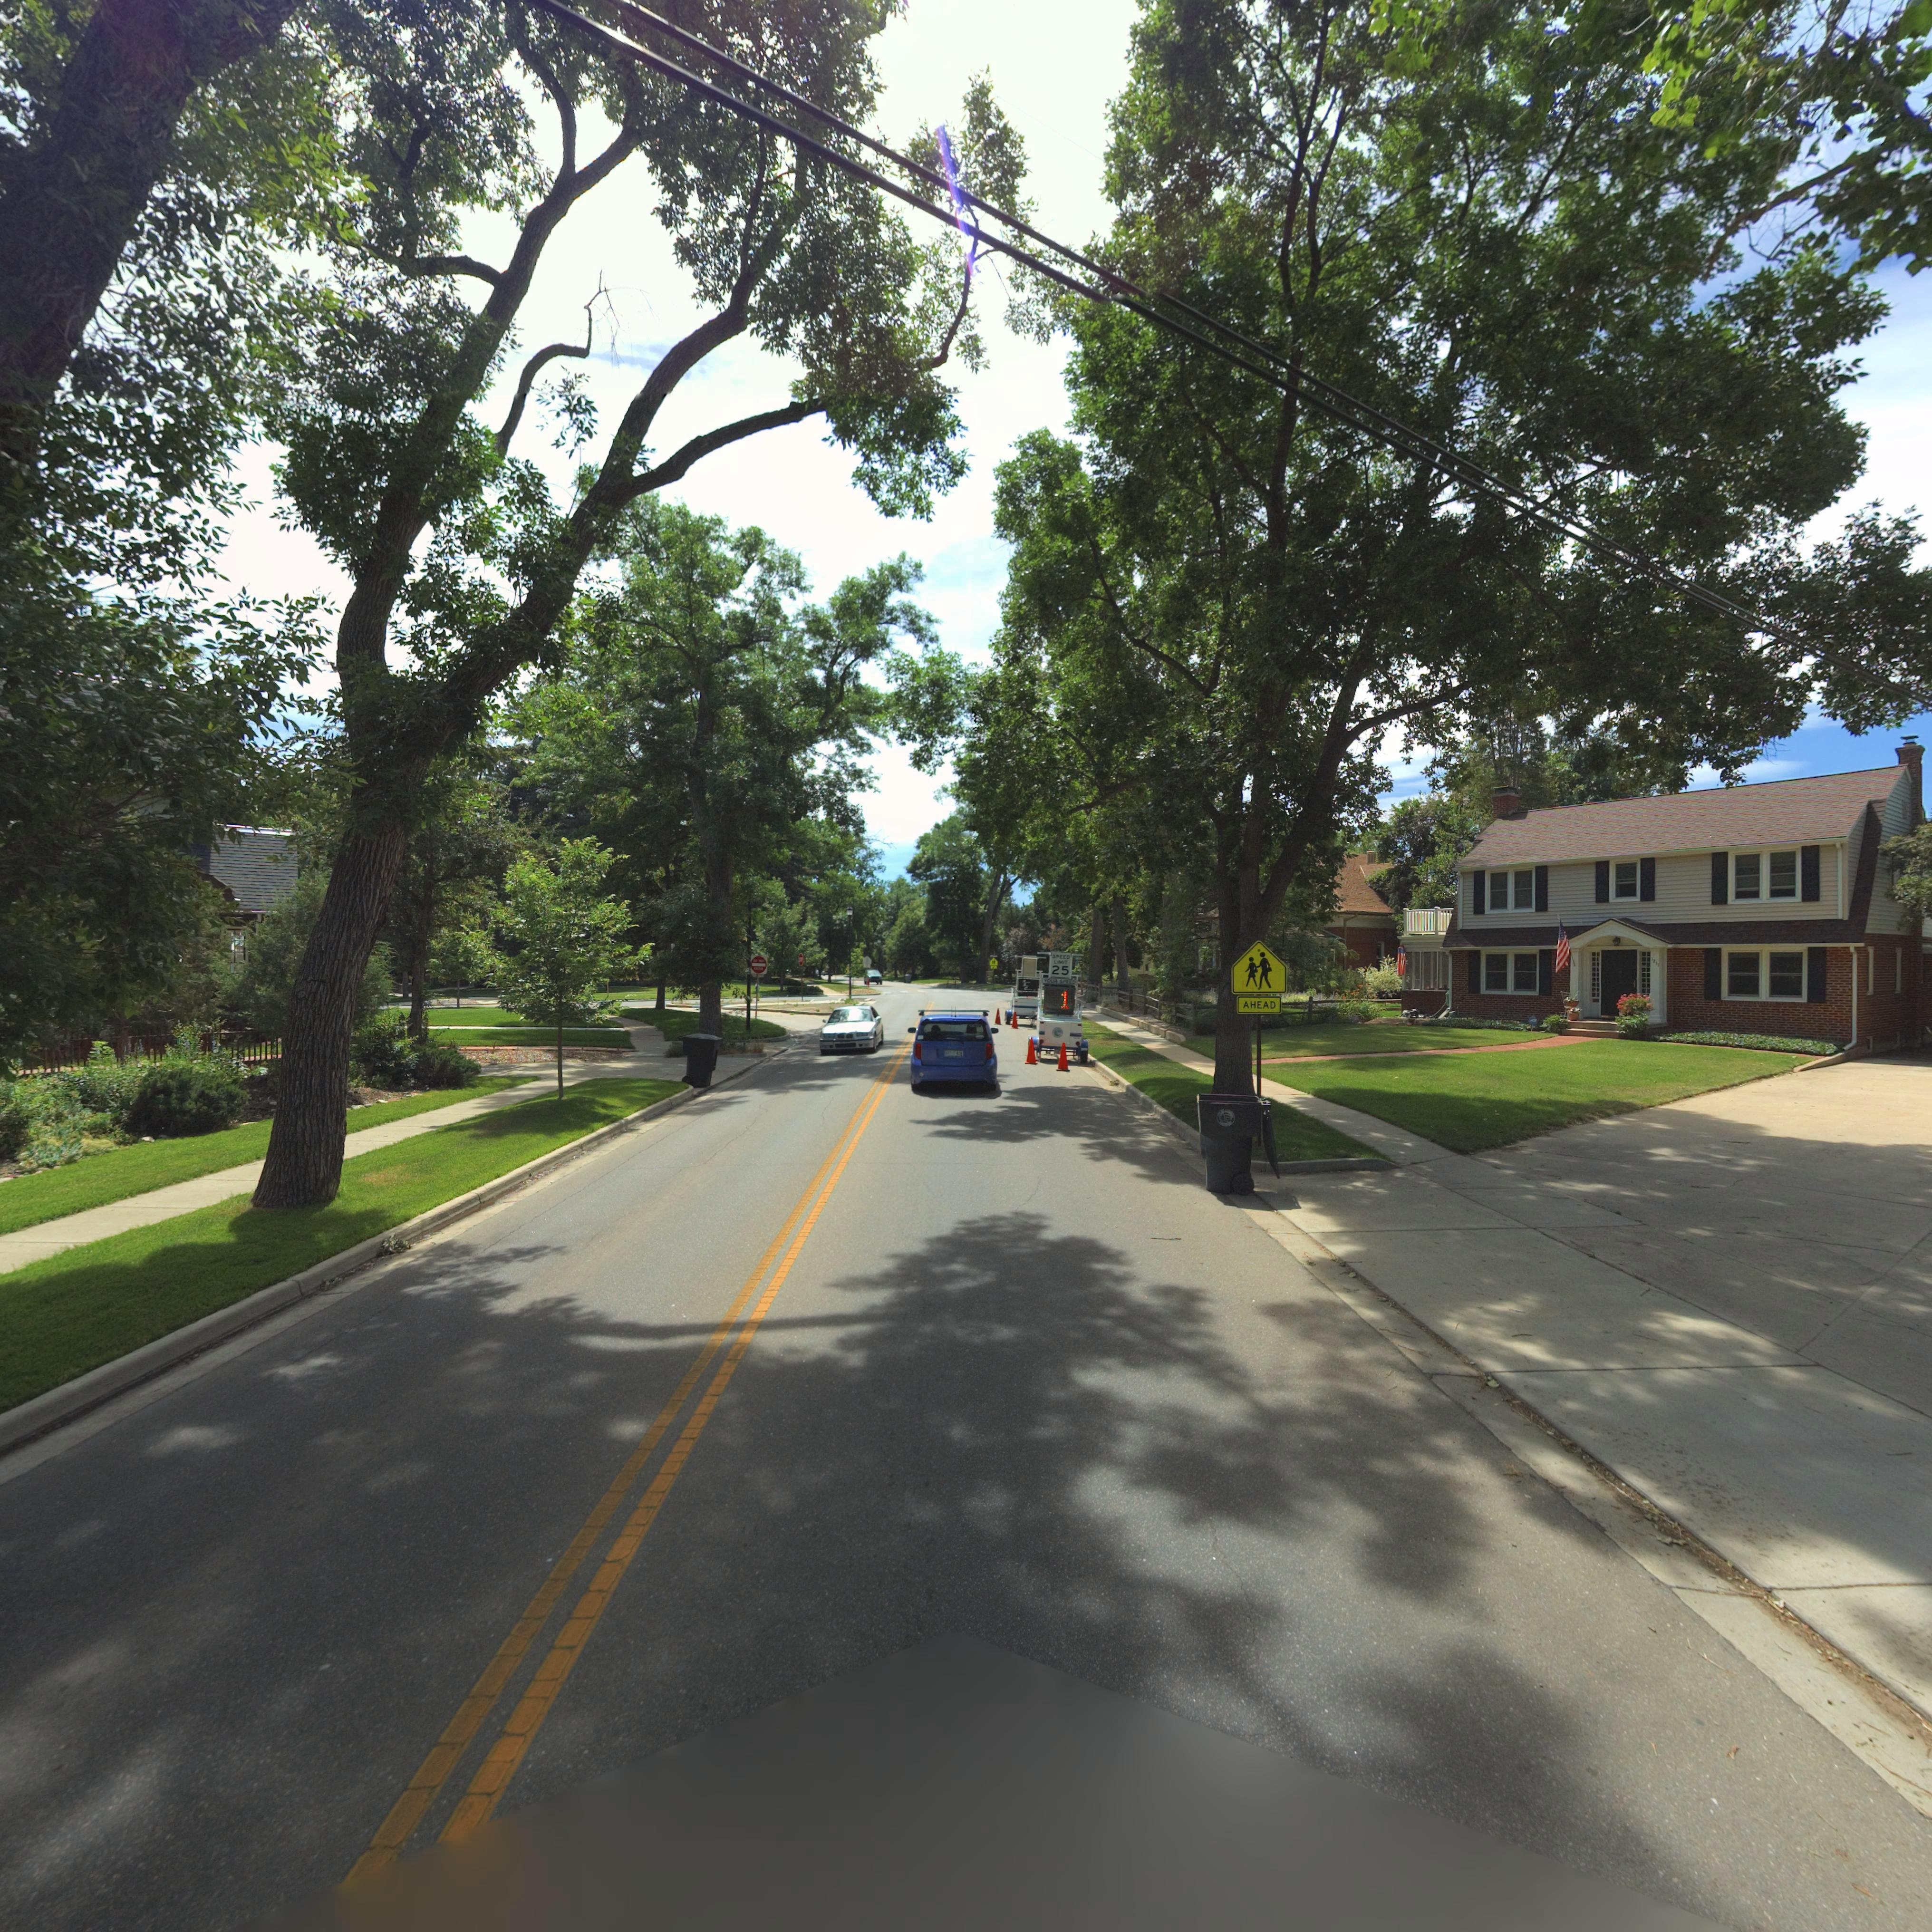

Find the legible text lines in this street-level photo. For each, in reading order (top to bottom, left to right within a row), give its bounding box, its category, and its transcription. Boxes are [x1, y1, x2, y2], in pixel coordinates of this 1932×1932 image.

[1651, 956, 1659, 967] StreetNumber: 1*11